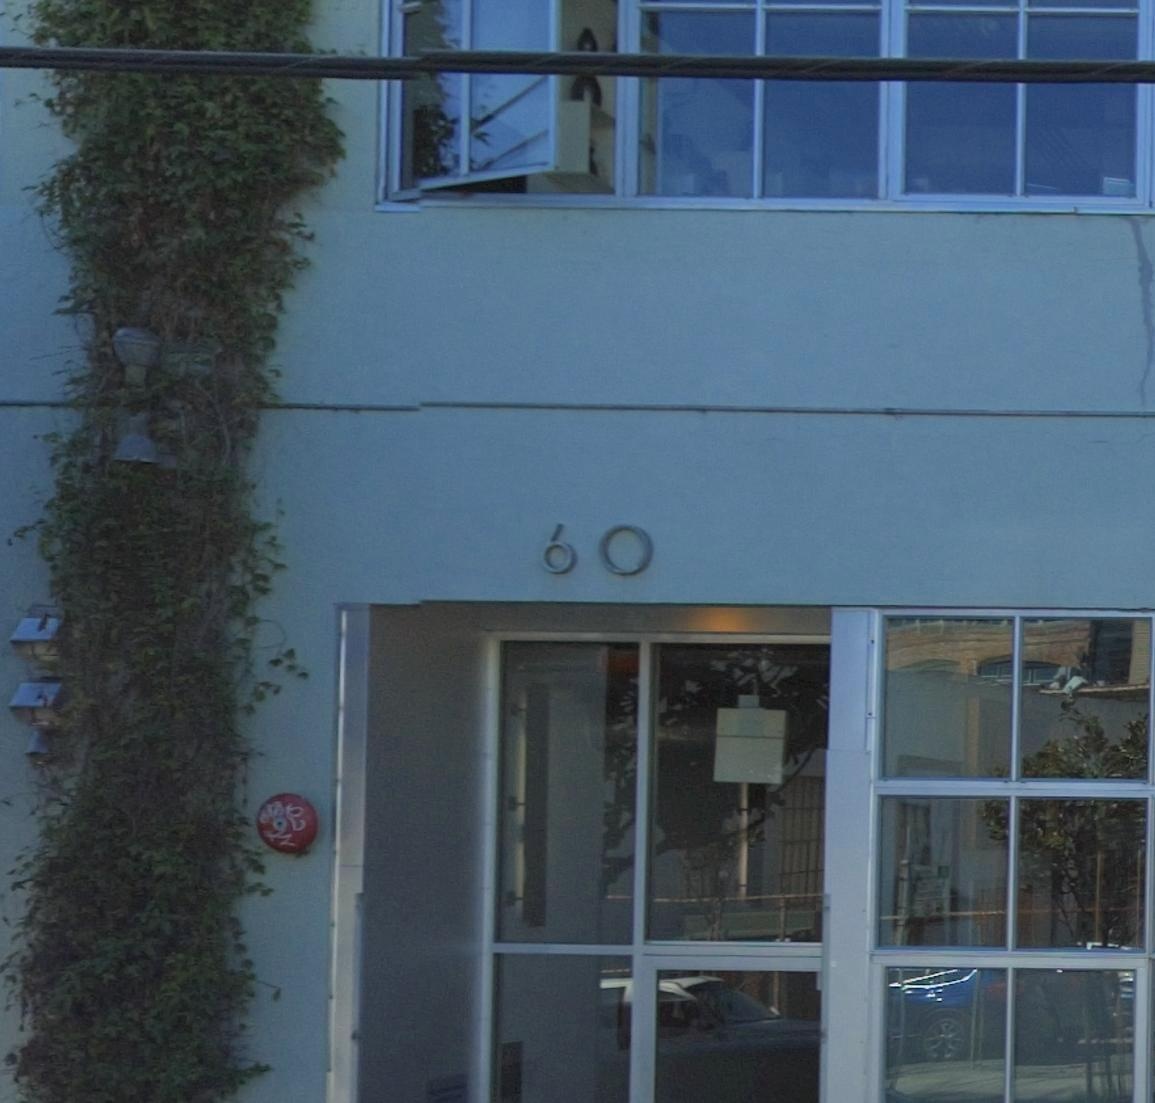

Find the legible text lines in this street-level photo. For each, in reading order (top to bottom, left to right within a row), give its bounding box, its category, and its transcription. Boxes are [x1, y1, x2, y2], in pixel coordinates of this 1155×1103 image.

[570, 21, 605, 55] None: A
[537, 517, 662, 583] StreetNumber: 60